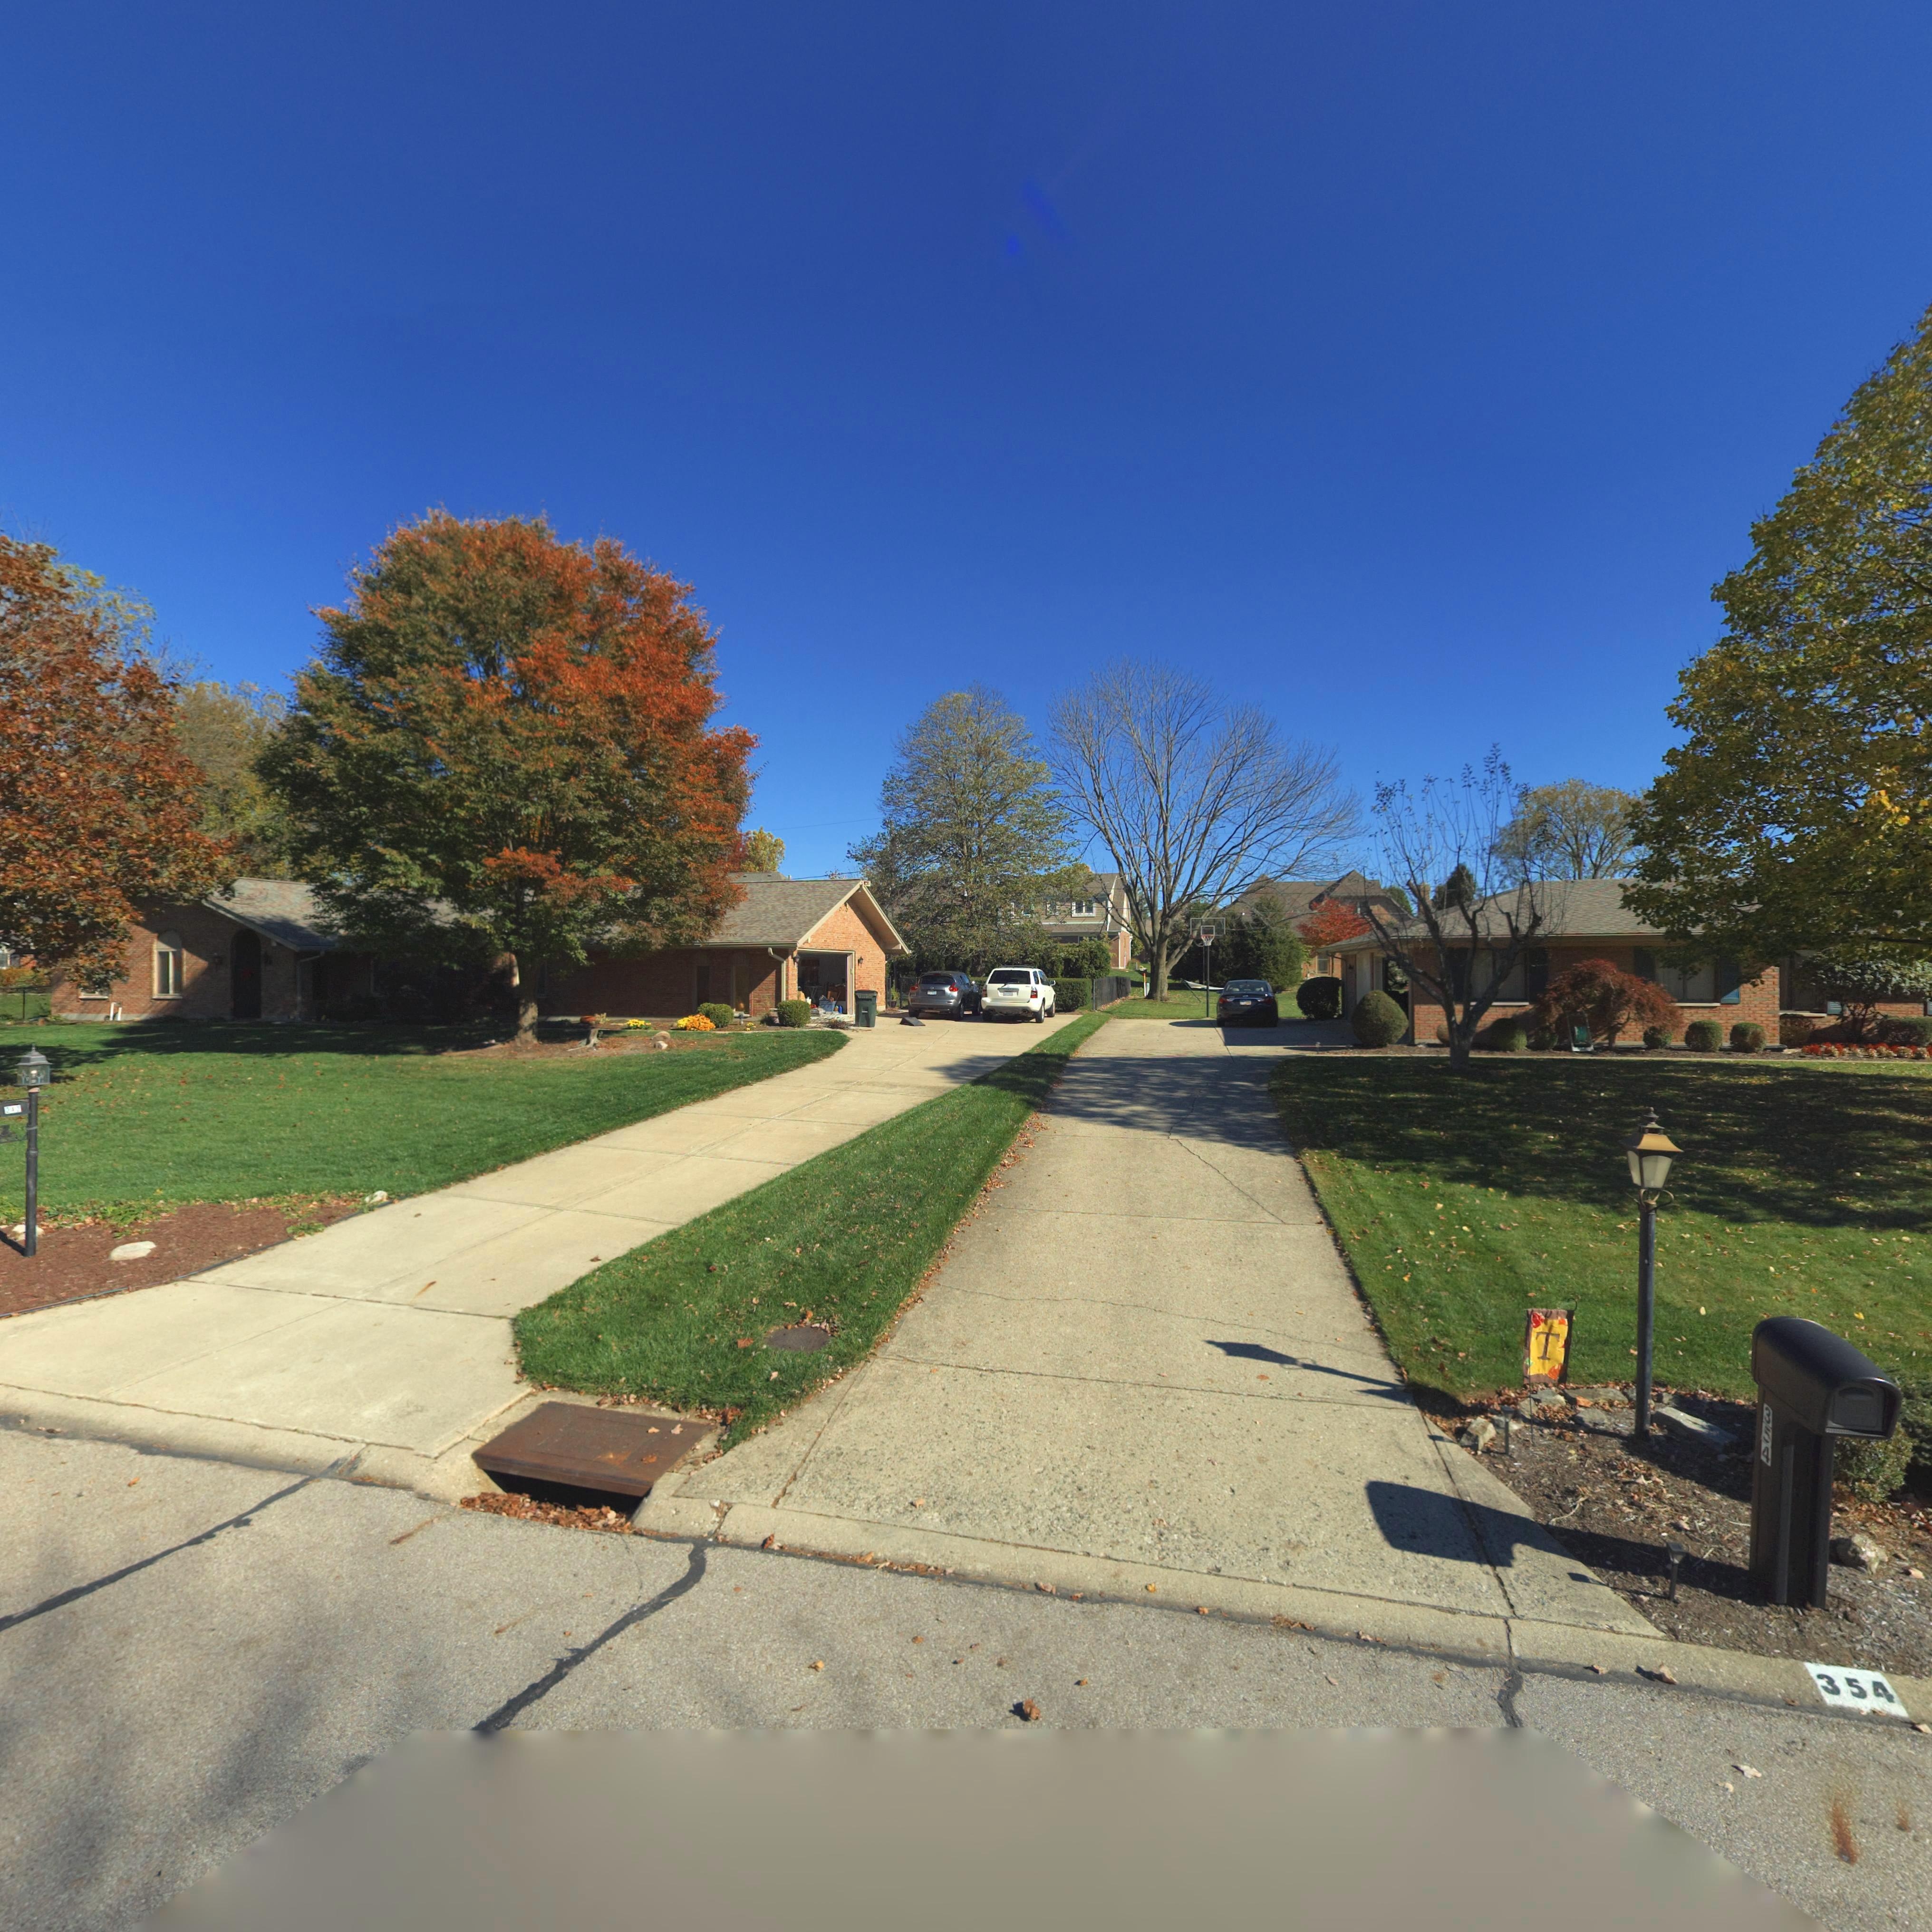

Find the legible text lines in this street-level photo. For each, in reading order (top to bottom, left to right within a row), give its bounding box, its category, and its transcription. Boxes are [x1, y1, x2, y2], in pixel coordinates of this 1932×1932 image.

[1535, 1330, 1562, 1362] None: T
[1759, 1404, 1772, 1465] StreetNumber: 354
[1812, 1671, 1897, 1705] StreetNumber: 354